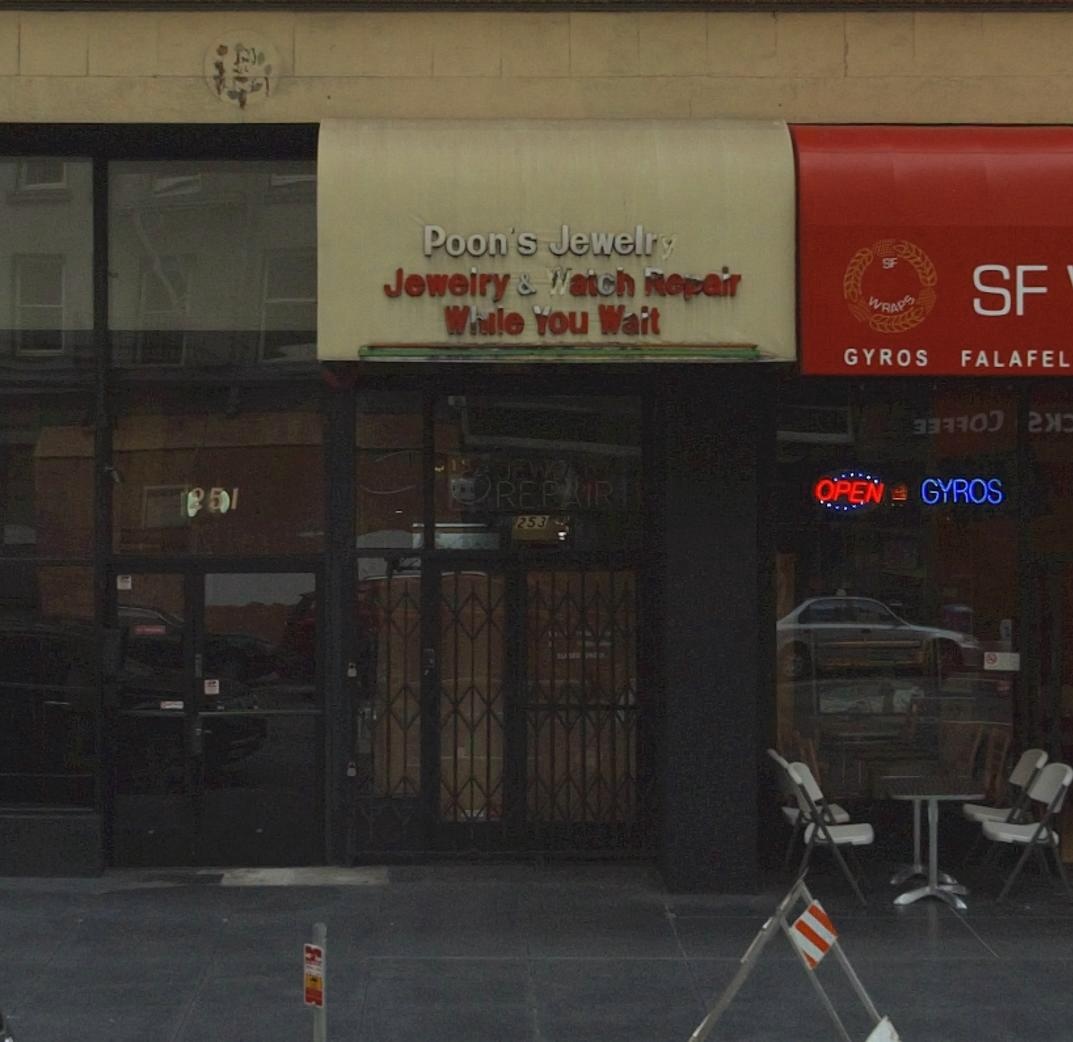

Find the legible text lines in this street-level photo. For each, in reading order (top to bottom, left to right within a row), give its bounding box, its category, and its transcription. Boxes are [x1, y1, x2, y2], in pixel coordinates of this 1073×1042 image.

[423, 223, 659, 258] BusinessName: Poon's Jewelr
[881, 256, 899, 270] BusinessName: SF
[382, 265, 745, 303] None: Jewelry & *atch Repair
[868, 294, 916, 314] BusinessName: WRAPS
[971, 263, 1048, 318] BusinessName: SF
[442, 303, 661, 337] None: While You Wait
[843, 347, 1071, 368] None: GYROS FALAFEL
[913, 408, 1062, 436] None: ****O* **
[187, 485, 240, 511] StreetNumber: 251
[494, 480, 615, 511] None: REPAIR
[814, 478, 887, 505] None: OPEN
[920, 477, 1004, 506] None: GYROS
[514, 515, 549, 529] StreetNumber: 253